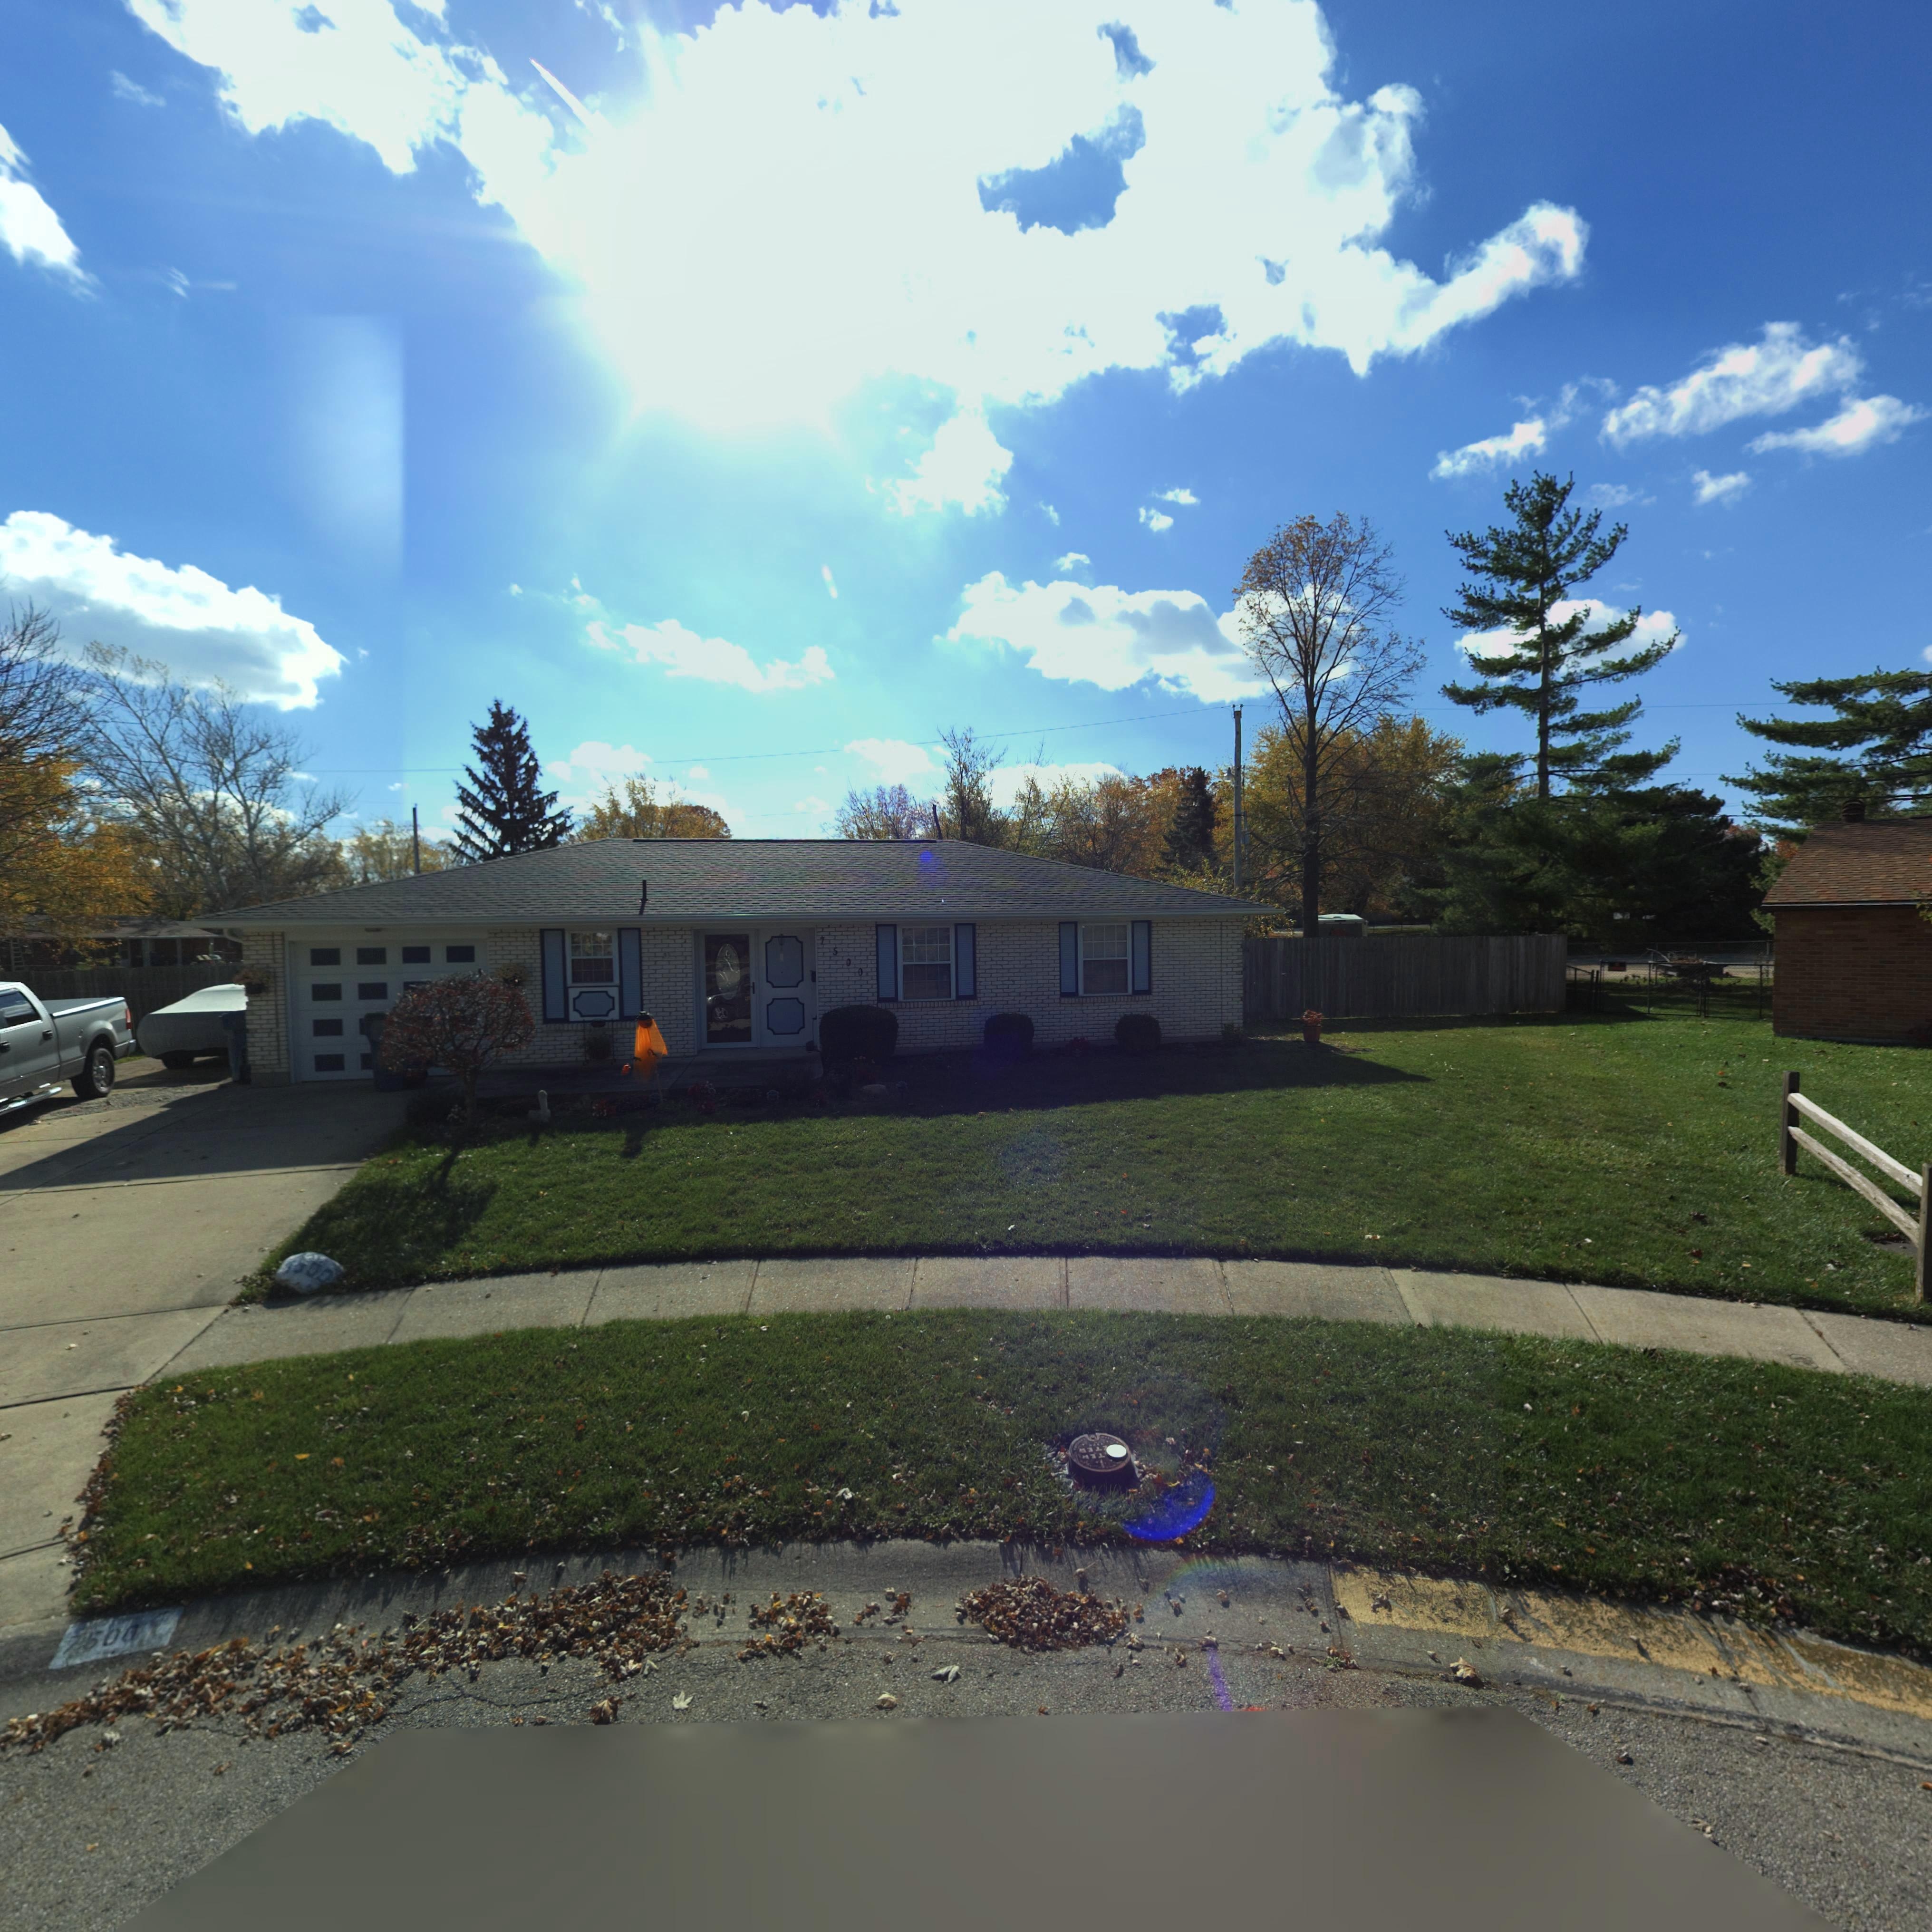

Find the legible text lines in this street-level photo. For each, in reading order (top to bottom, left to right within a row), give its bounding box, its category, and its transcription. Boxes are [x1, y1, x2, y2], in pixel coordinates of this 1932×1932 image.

[819, 936, 864, 977] StreetNumber: 7500
[59, 1622, 142, 1657] StreetNumber: 7500